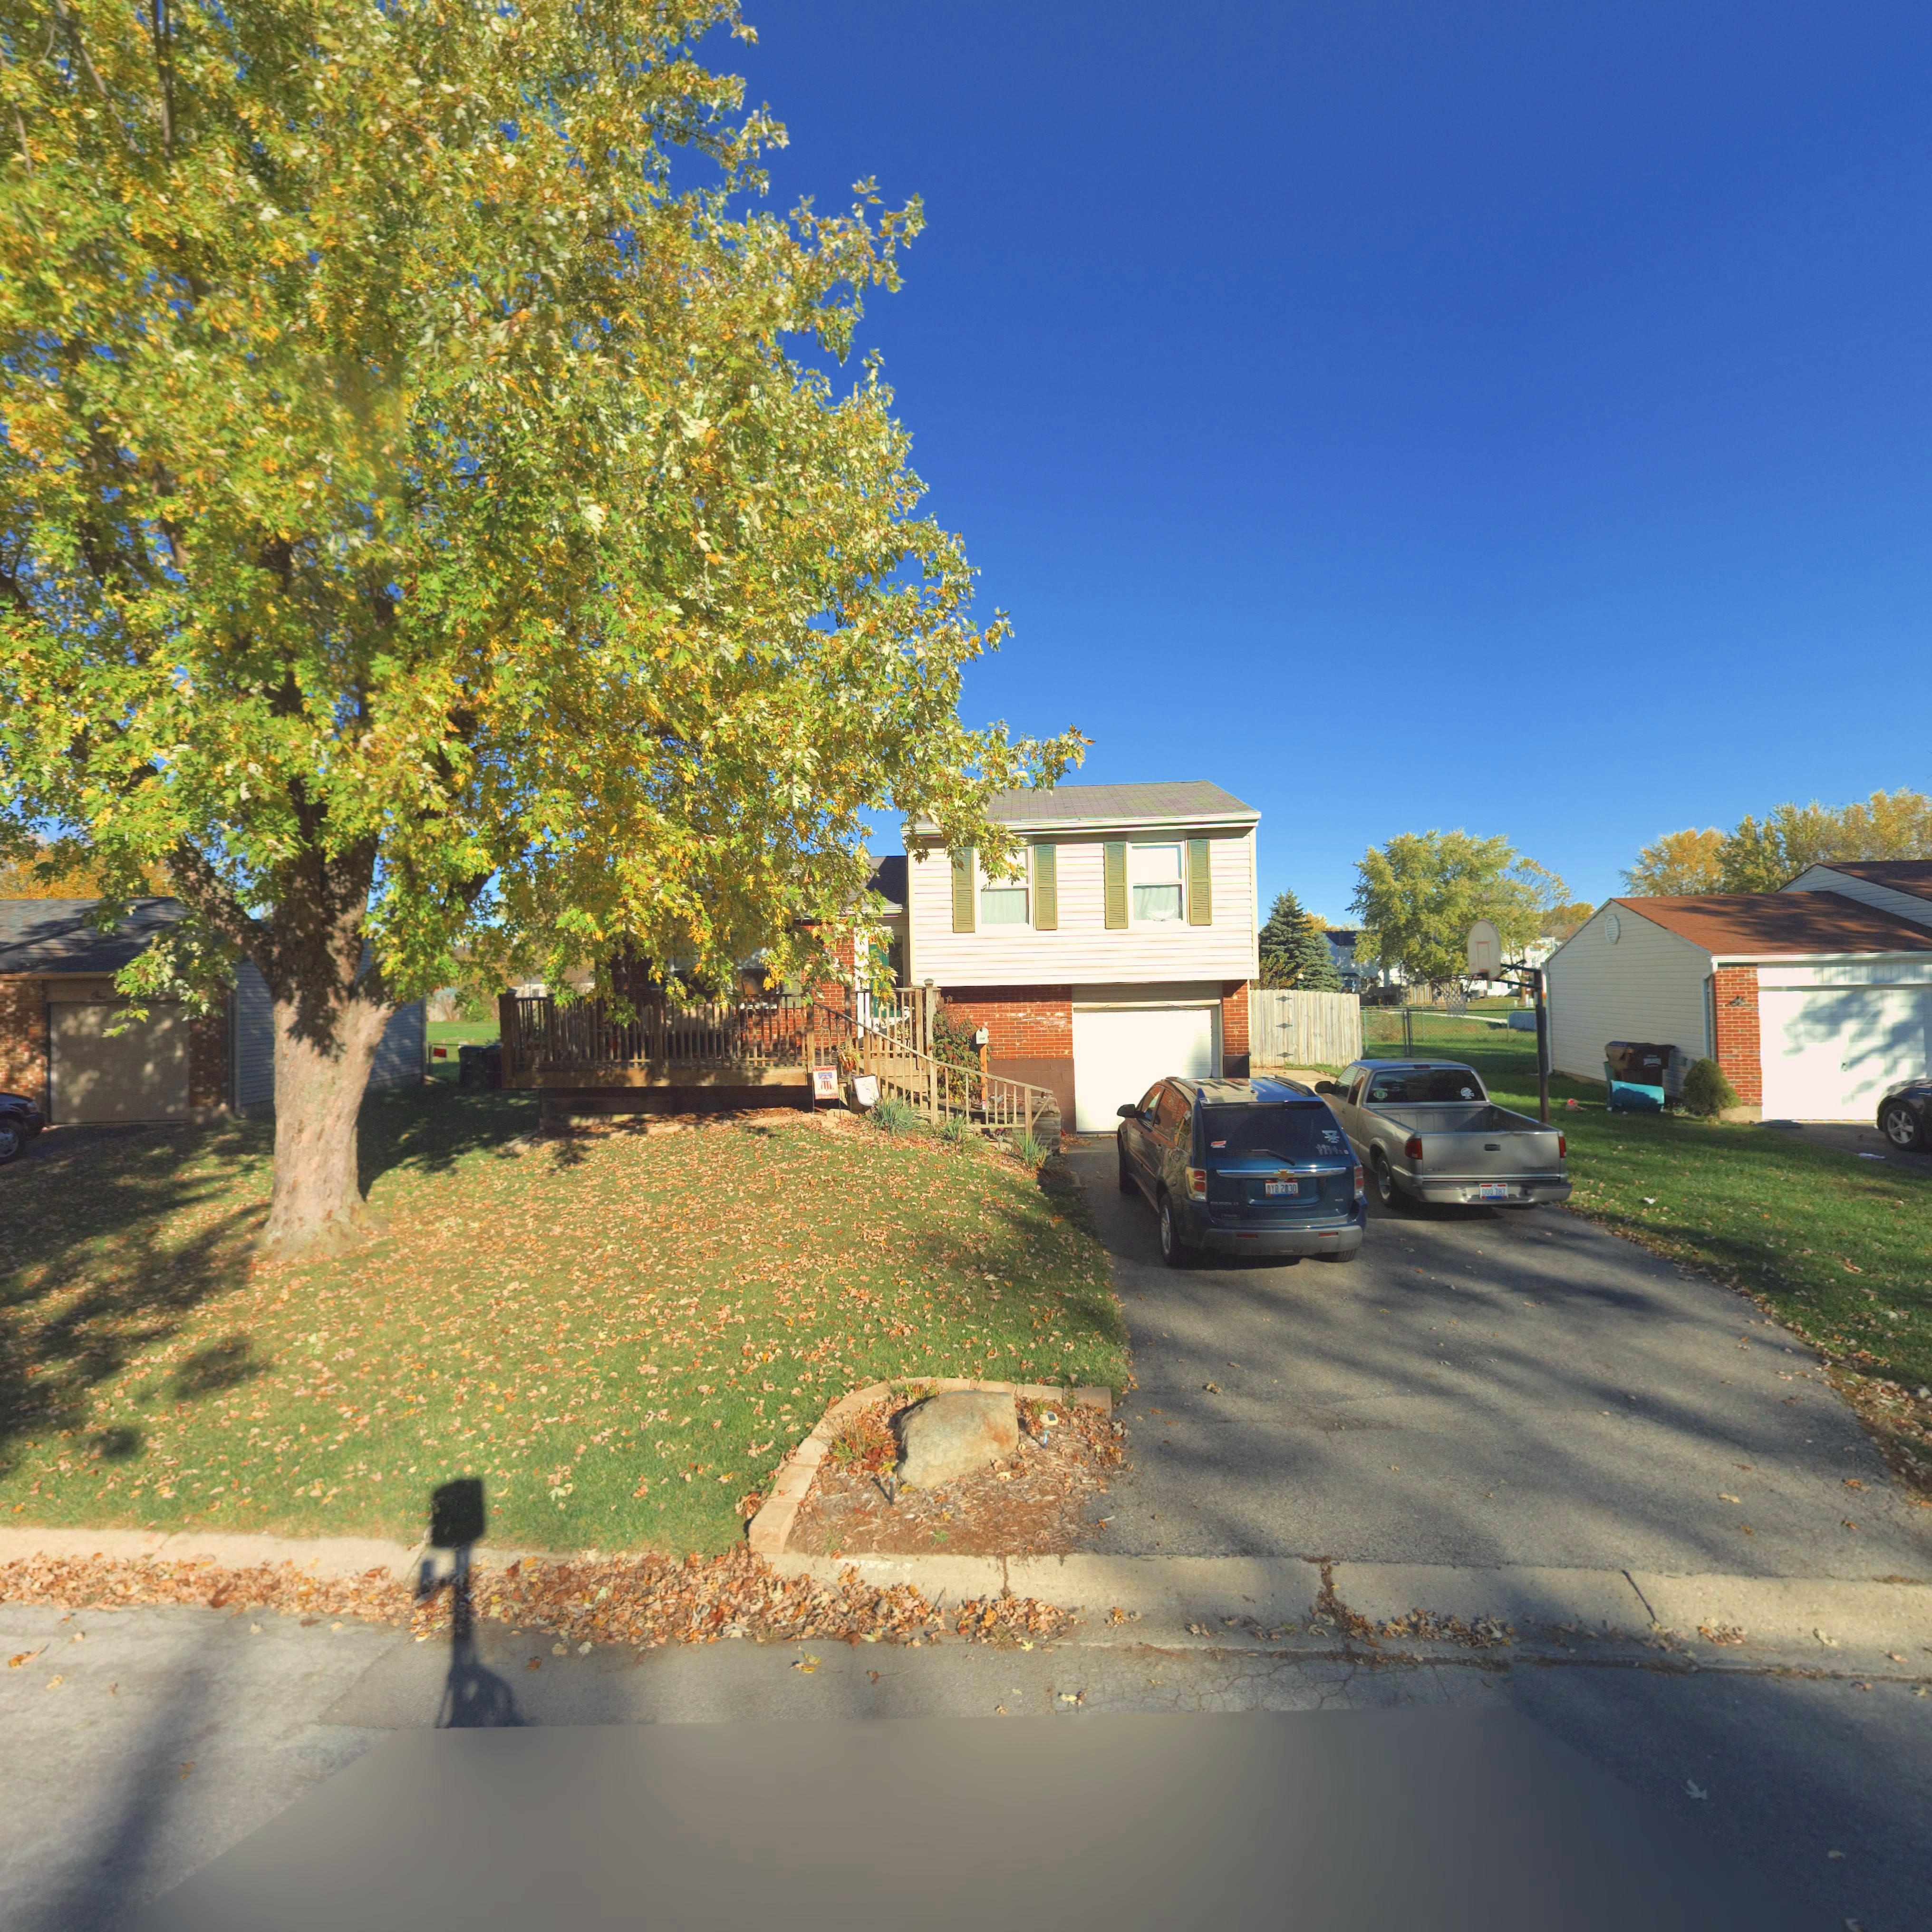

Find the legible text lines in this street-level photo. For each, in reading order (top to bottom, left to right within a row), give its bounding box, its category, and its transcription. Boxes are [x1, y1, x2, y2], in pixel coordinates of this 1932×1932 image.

[832, 957, 840, 967] StreetNumber: 2
[88, 990, 108, 1001] StreetNumber: One